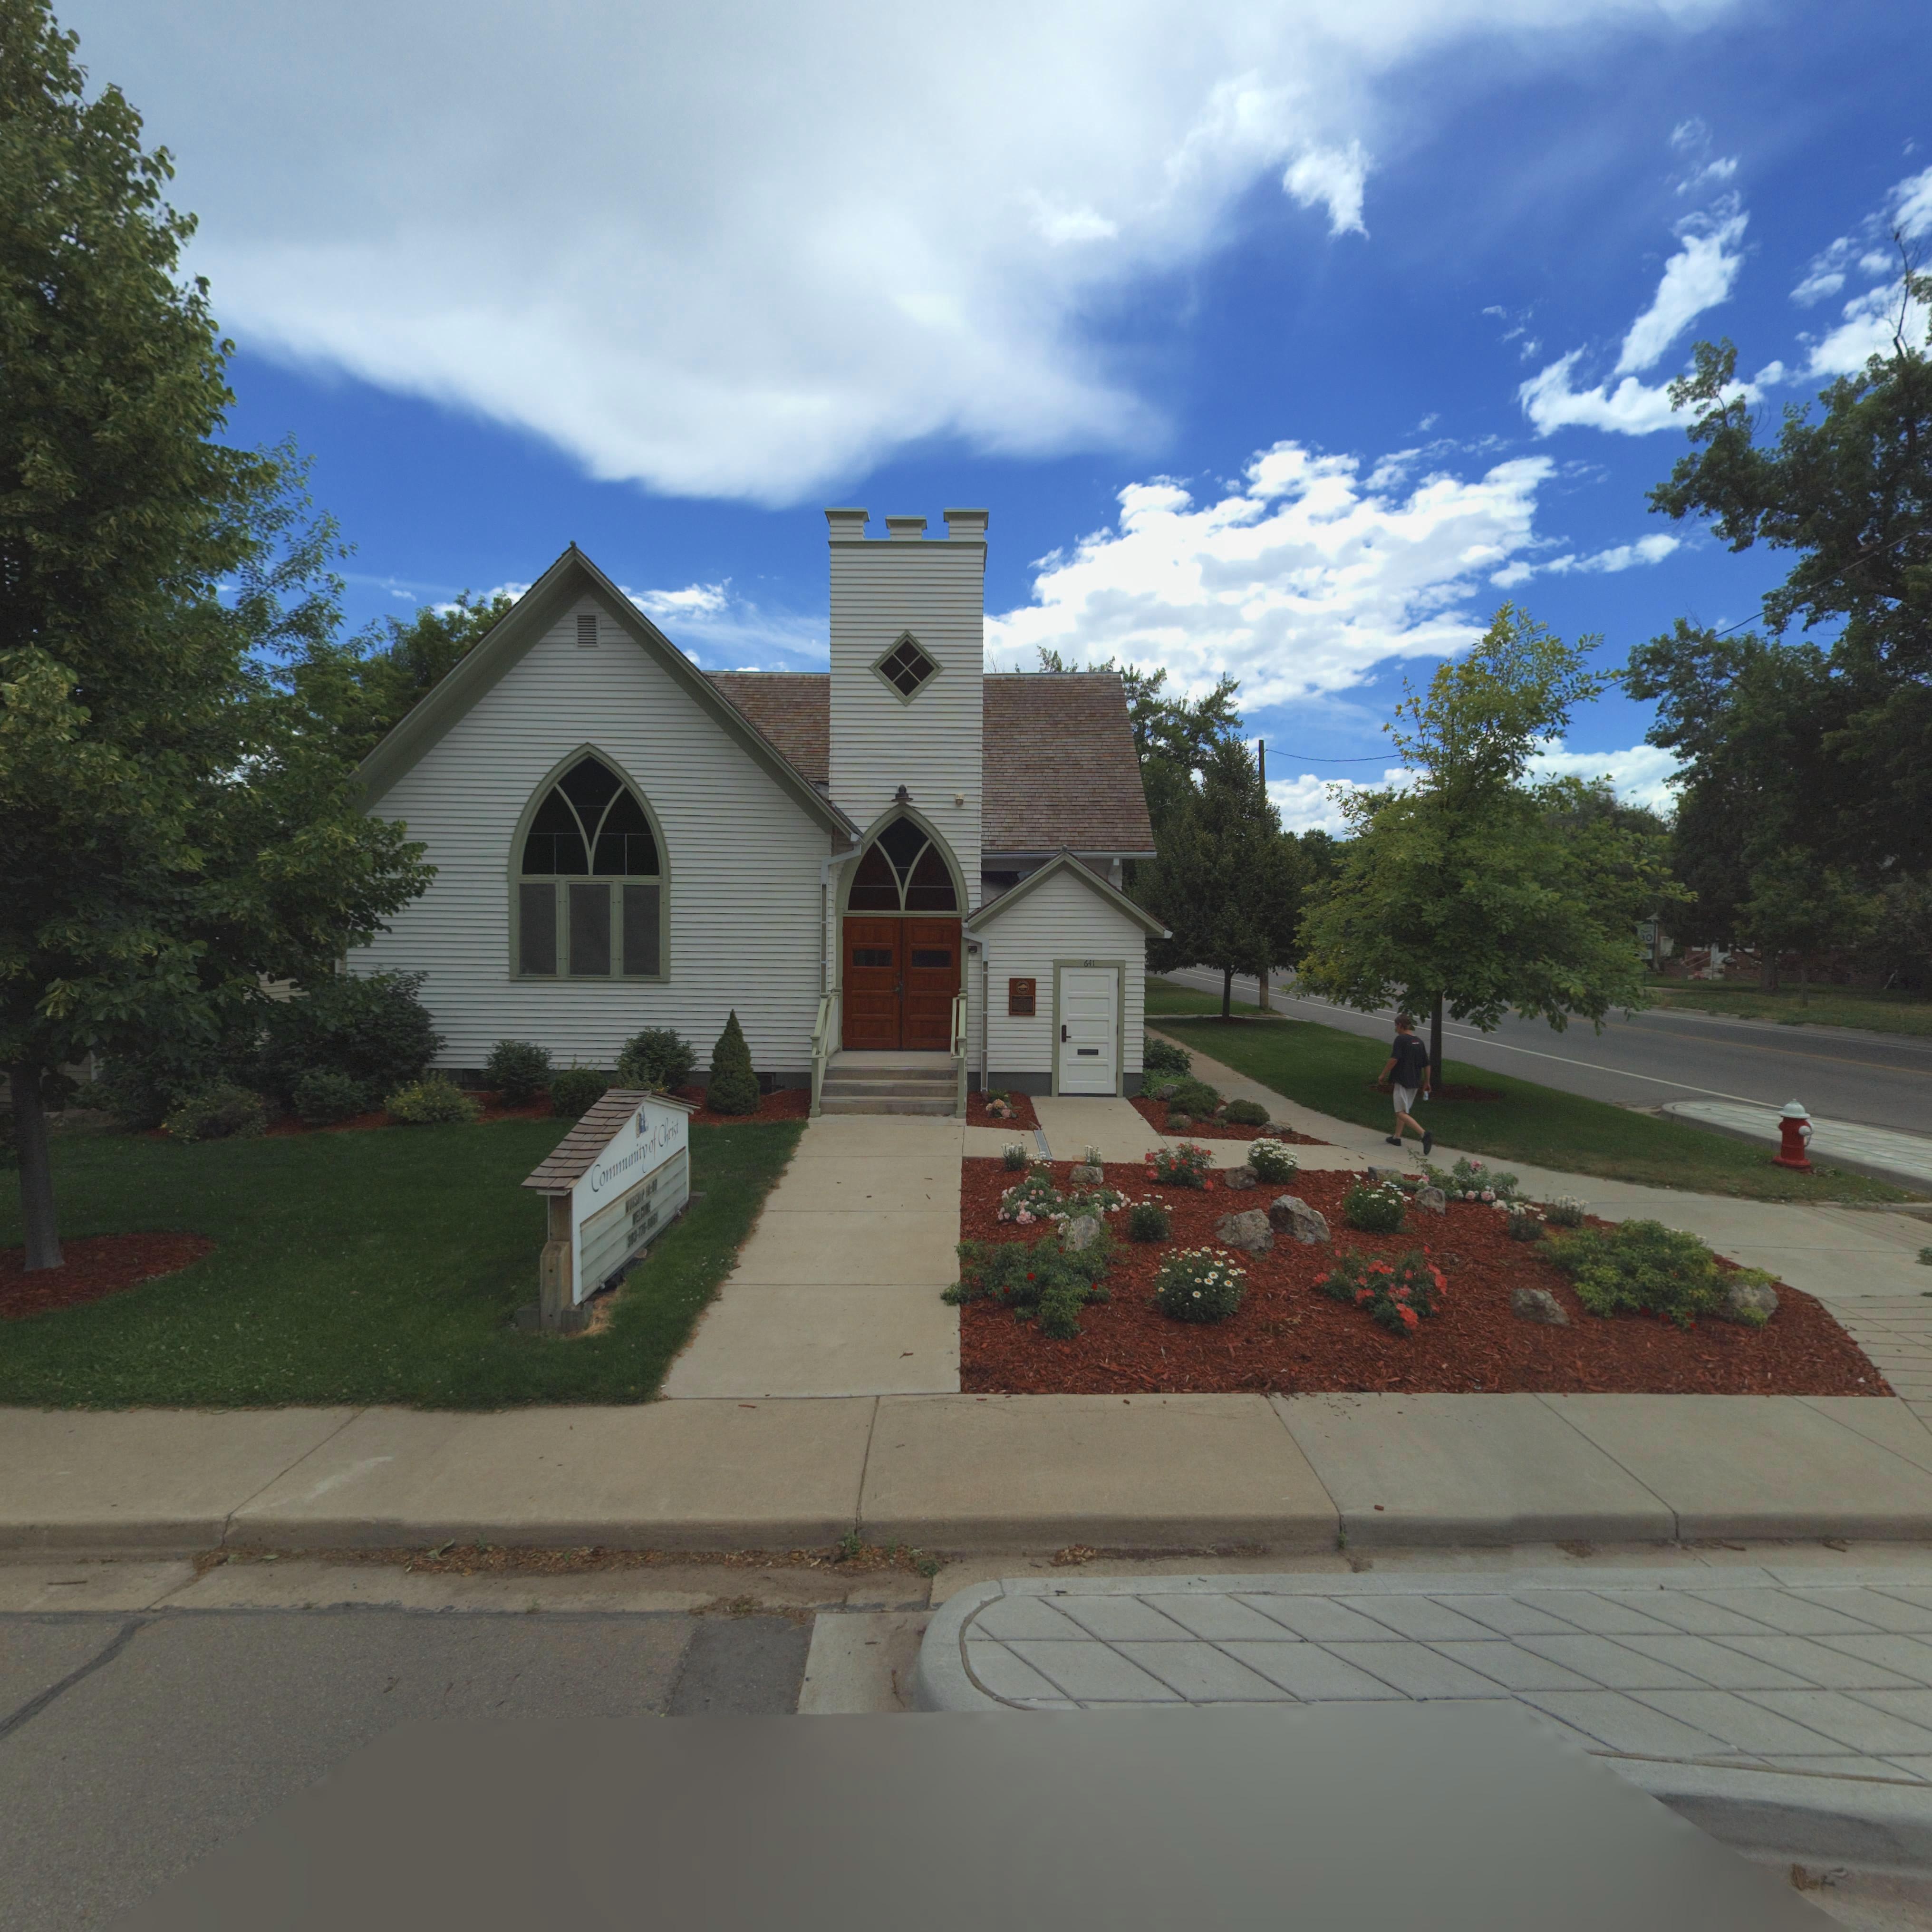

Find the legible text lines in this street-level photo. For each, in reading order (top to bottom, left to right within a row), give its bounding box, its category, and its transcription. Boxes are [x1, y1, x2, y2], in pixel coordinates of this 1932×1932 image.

[1084, 960, 1094, 966] StreetNumber: 641
[590, 1117, 679, 1193] BusinessName: Community of Christ